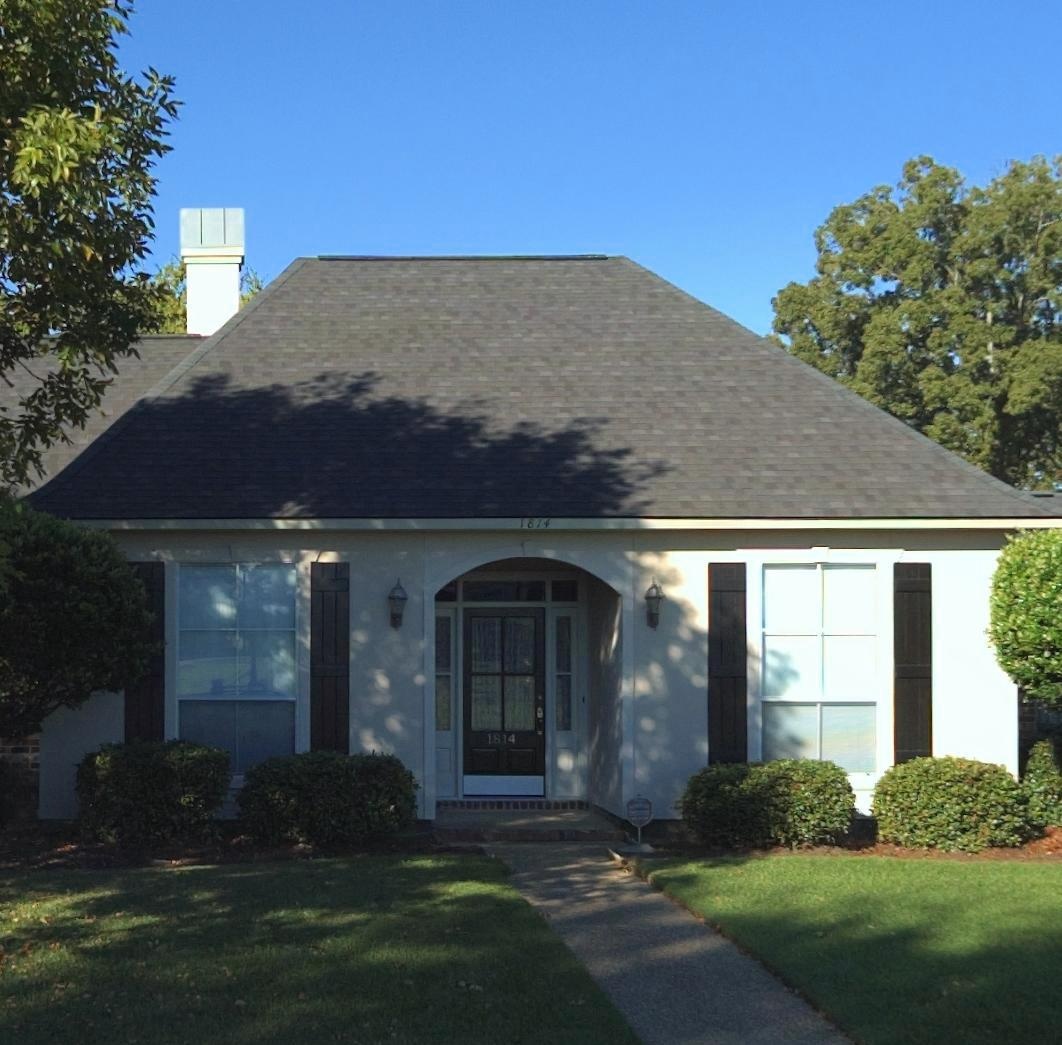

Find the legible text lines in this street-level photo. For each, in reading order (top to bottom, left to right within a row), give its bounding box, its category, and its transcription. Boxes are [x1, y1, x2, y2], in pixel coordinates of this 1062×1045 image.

[518, 516, 552, 530] StreetNumber: 1814
[485, 731, 518, 747] StreetNumber: 1814